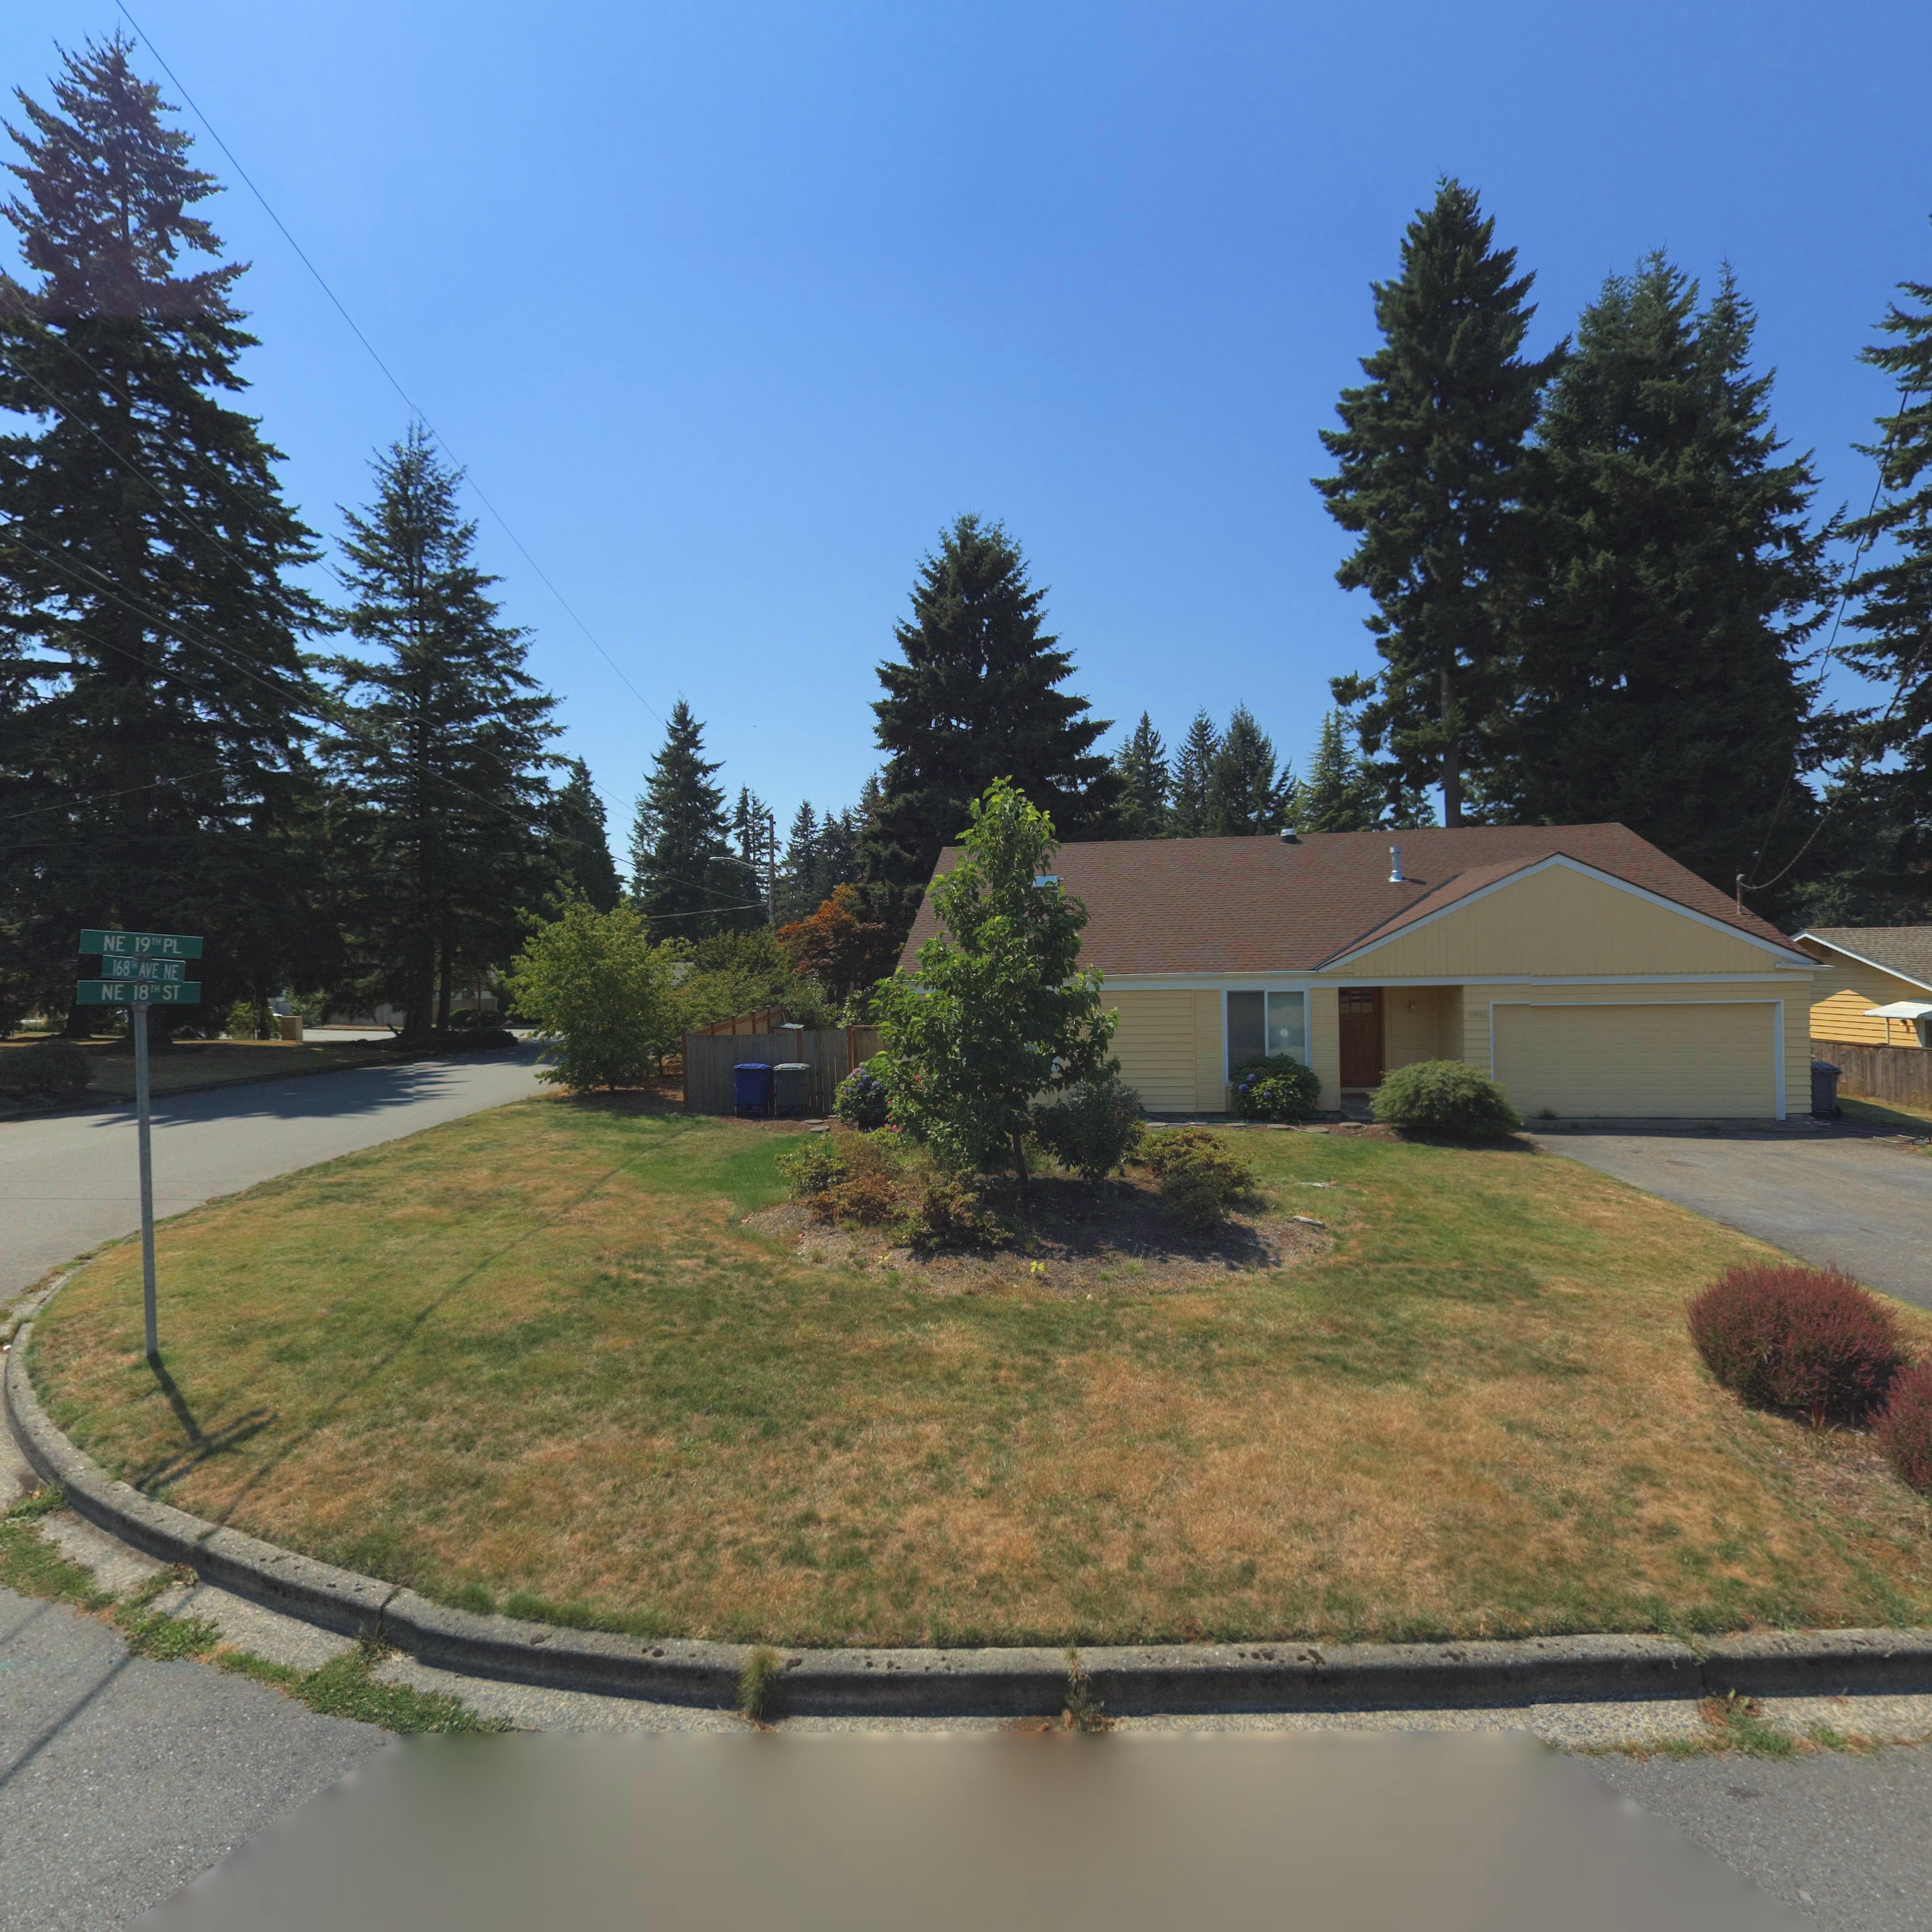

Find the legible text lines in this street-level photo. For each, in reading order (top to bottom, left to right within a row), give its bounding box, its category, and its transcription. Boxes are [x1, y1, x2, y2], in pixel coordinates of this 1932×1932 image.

[104, 935, 181, 953] StreetName: NE 19TH PL
[113, 960, 178, 979] StreetName: 168** AVE NE
[102, 985, 180, 999] StreetName: NE 18TH ST